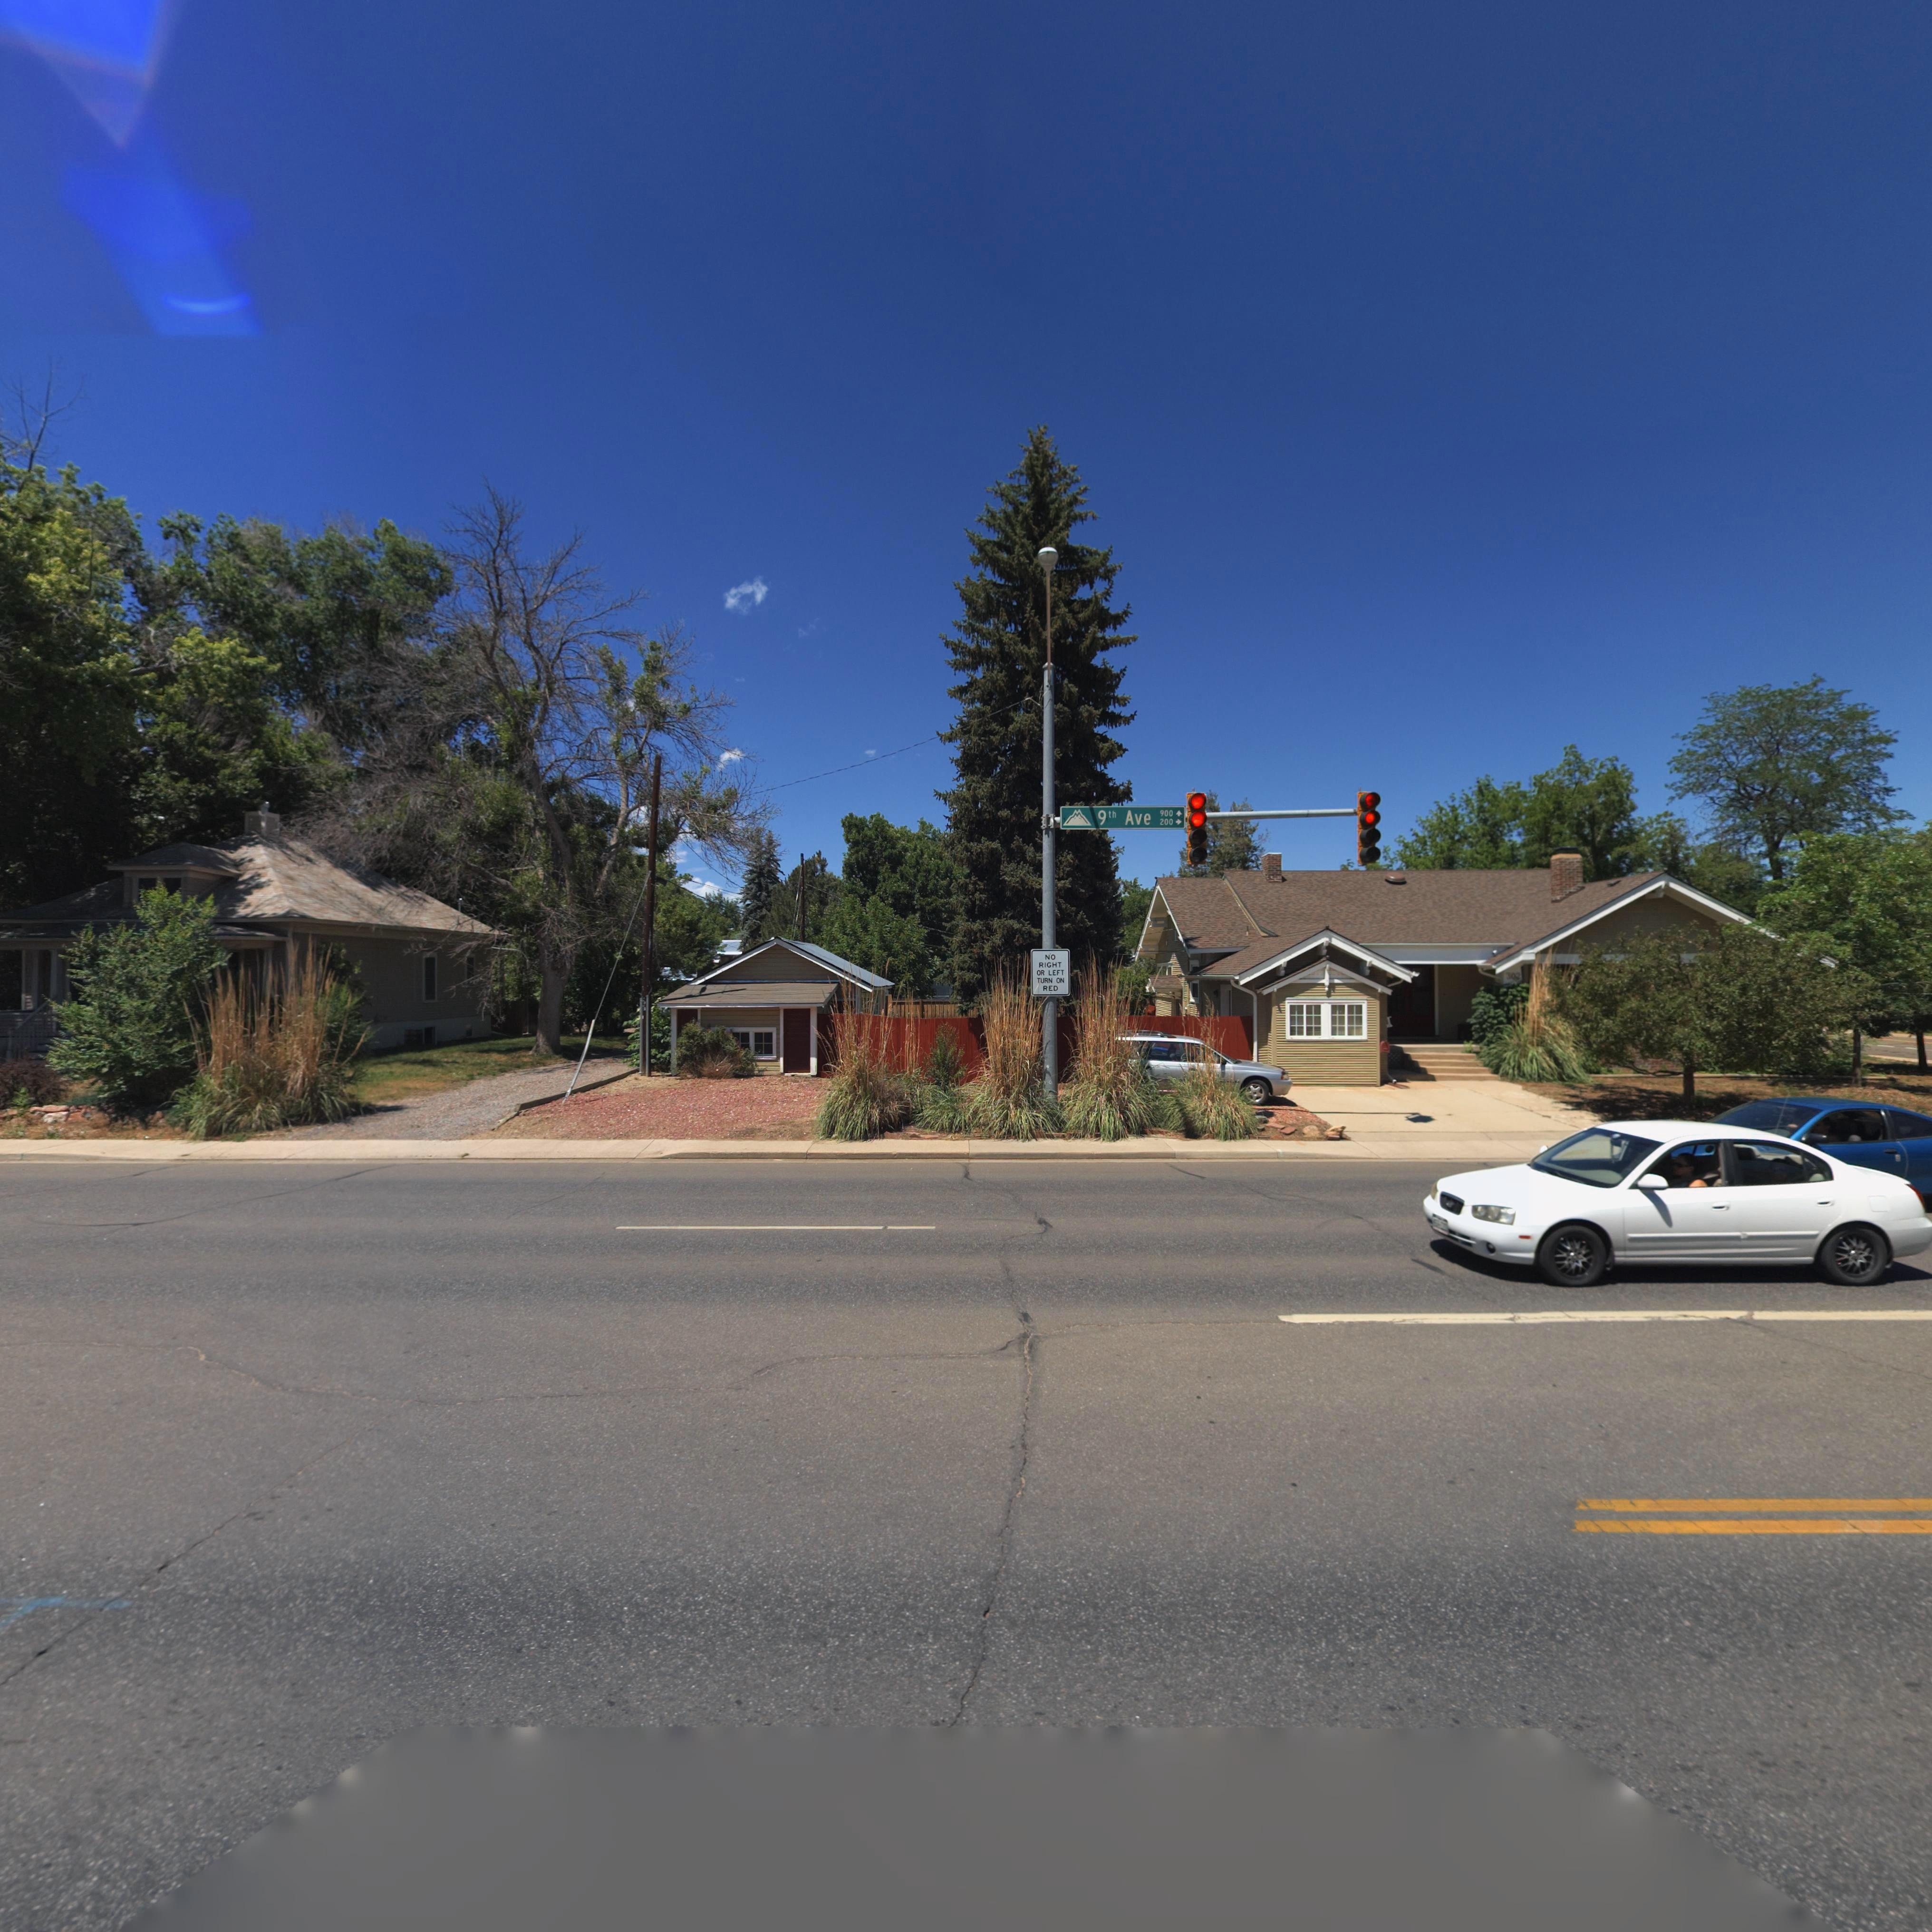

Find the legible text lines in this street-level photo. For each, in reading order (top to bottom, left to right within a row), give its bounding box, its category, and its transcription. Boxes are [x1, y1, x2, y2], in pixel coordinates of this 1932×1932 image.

[1159, 810, 1173, 817] StreetNumberRange: 900
[1097, 809, 1151, 825] StreetName: 9th Ave
[1159, 818, 1182, 825] StreetNumberRange: 200->
[1506, 972, 1520, 979] StreetNumber: 302